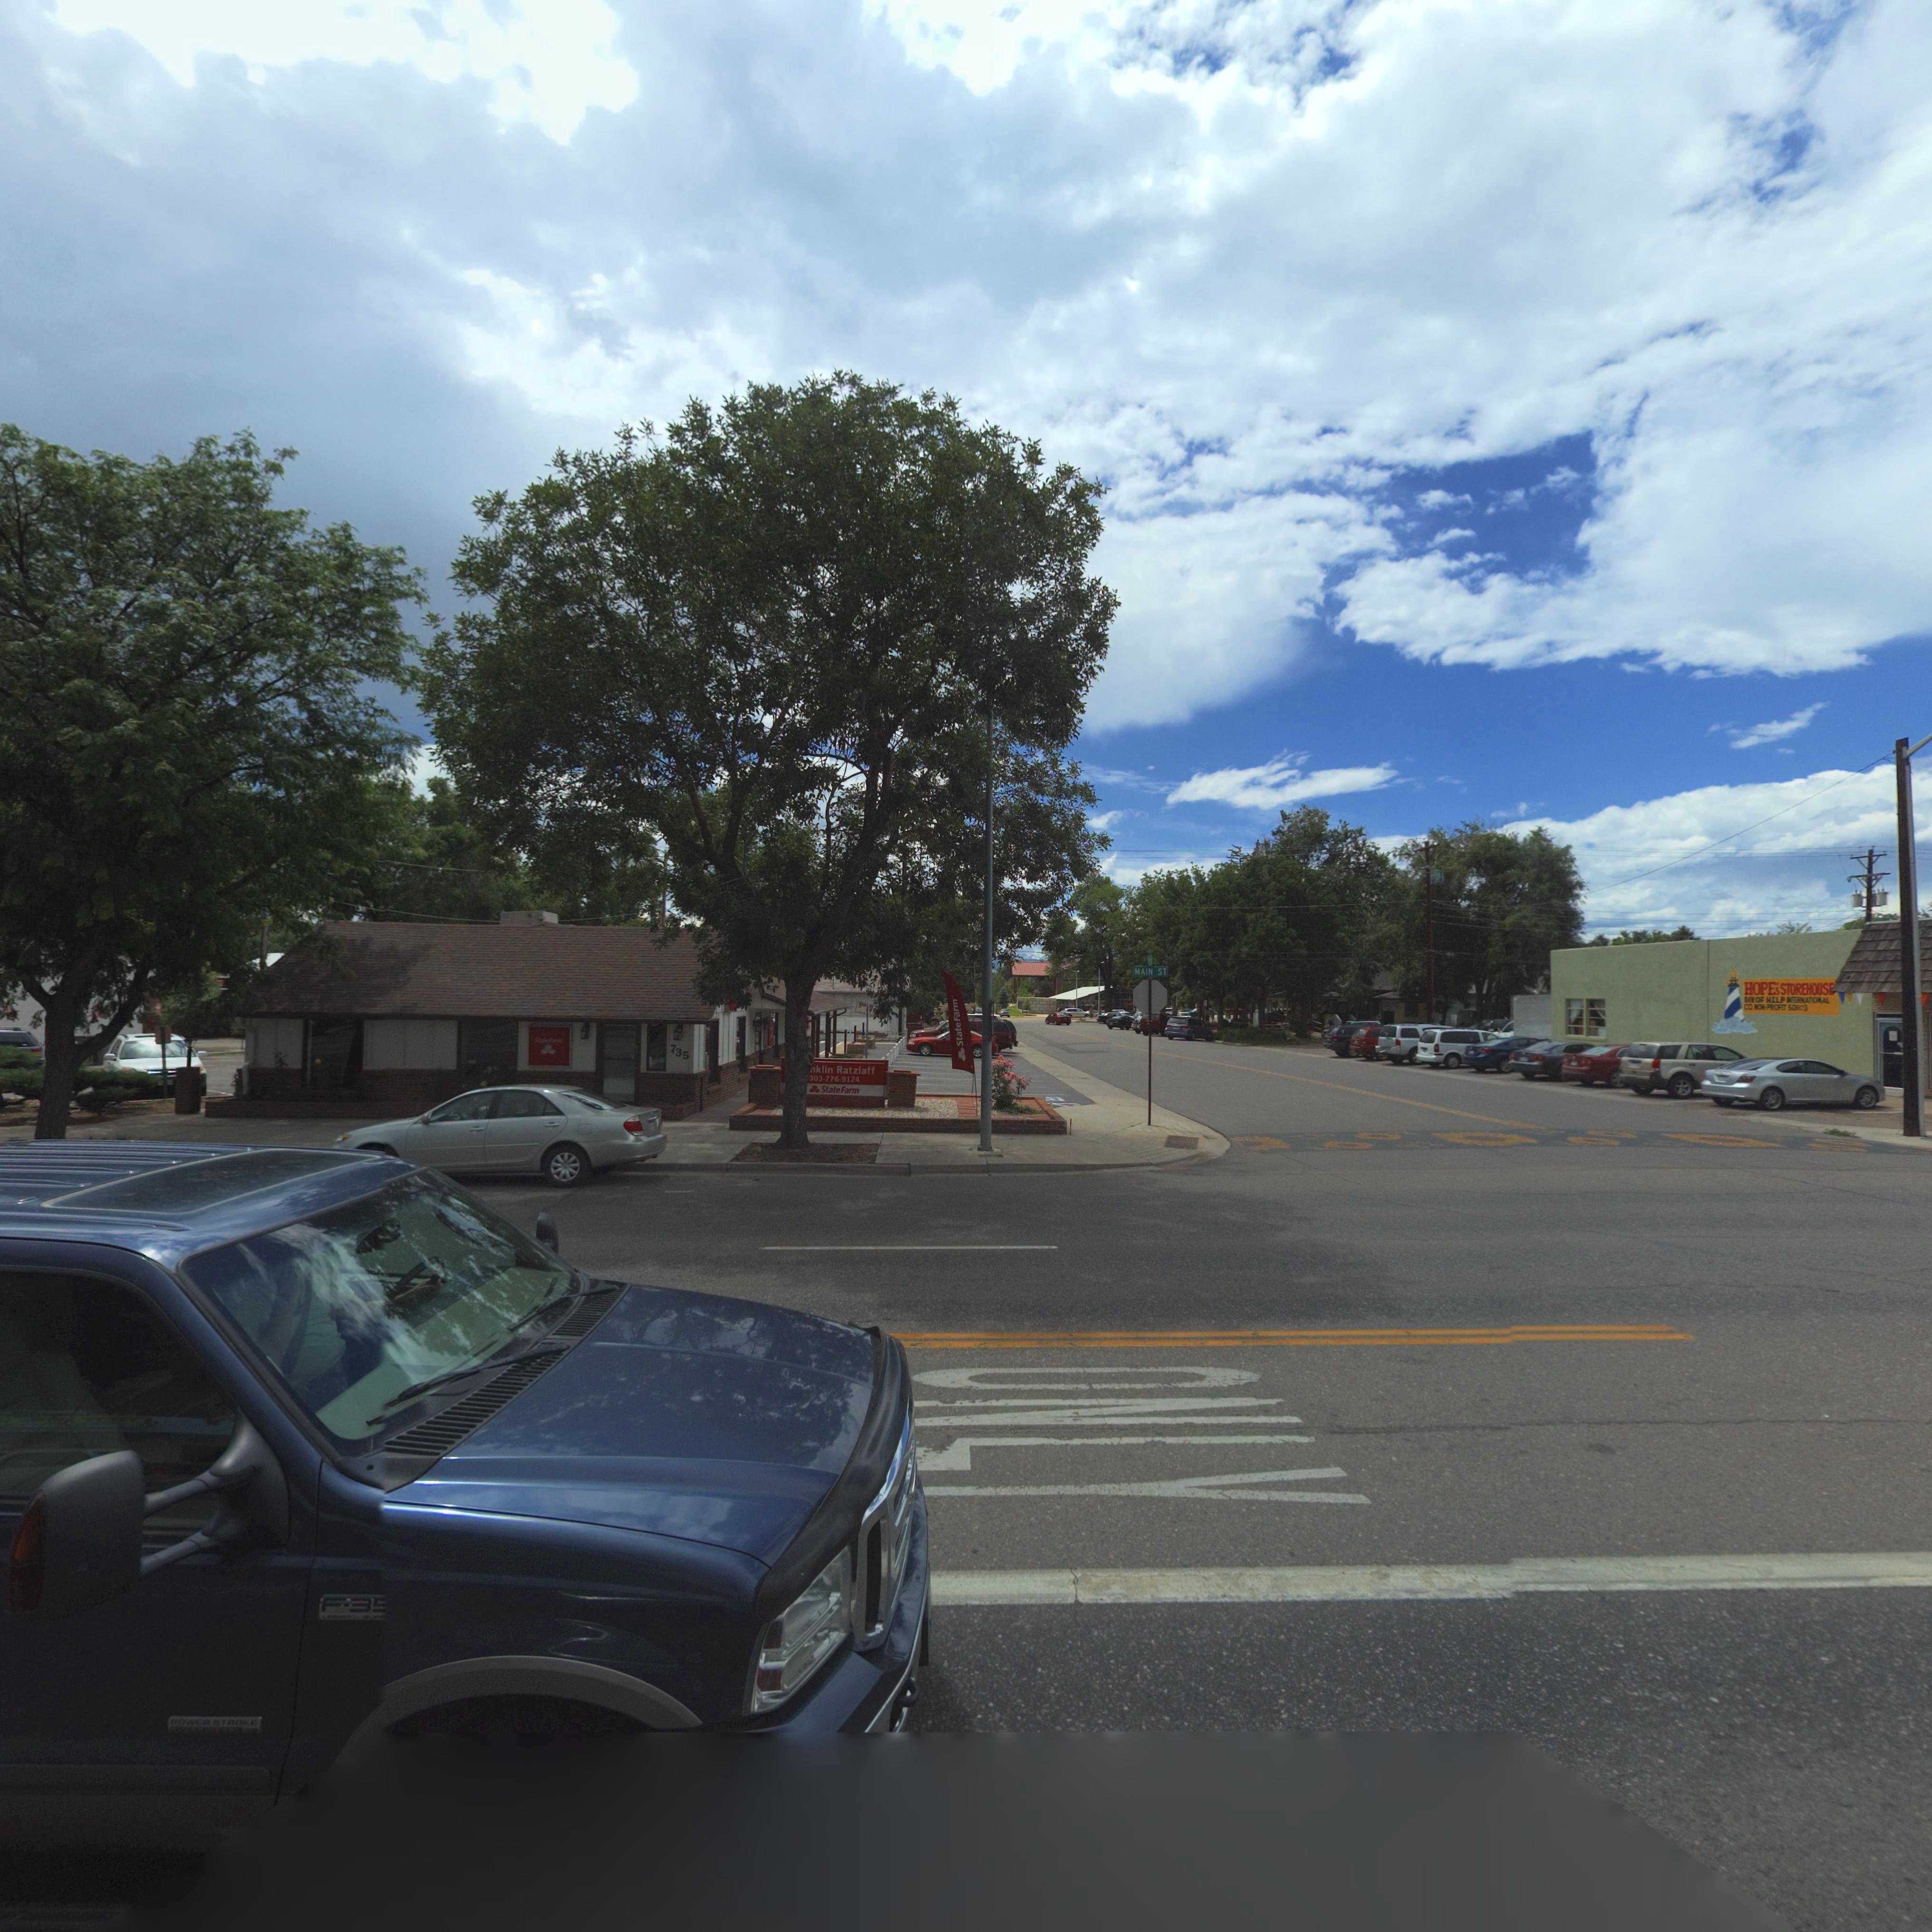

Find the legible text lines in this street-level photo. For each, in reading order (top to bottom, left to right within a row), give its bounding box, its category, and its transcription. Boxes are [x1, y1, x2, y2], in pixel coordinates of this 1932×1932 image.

[1135, 967, 1167, 975] StreetName: MAIN ST
[1744, 981, 1835, 995] BusinessName: HOPE's STOREHOUSE
[952, 999, 963, 1046] BusinessName: StateFarm
[534, 1037, 563, 1043] BusinessName: StateFarm
[670, 1044, 689, 1060] StreetNumber: 735
[821, 1085, 860, 1093] BusinessName: StateFarm